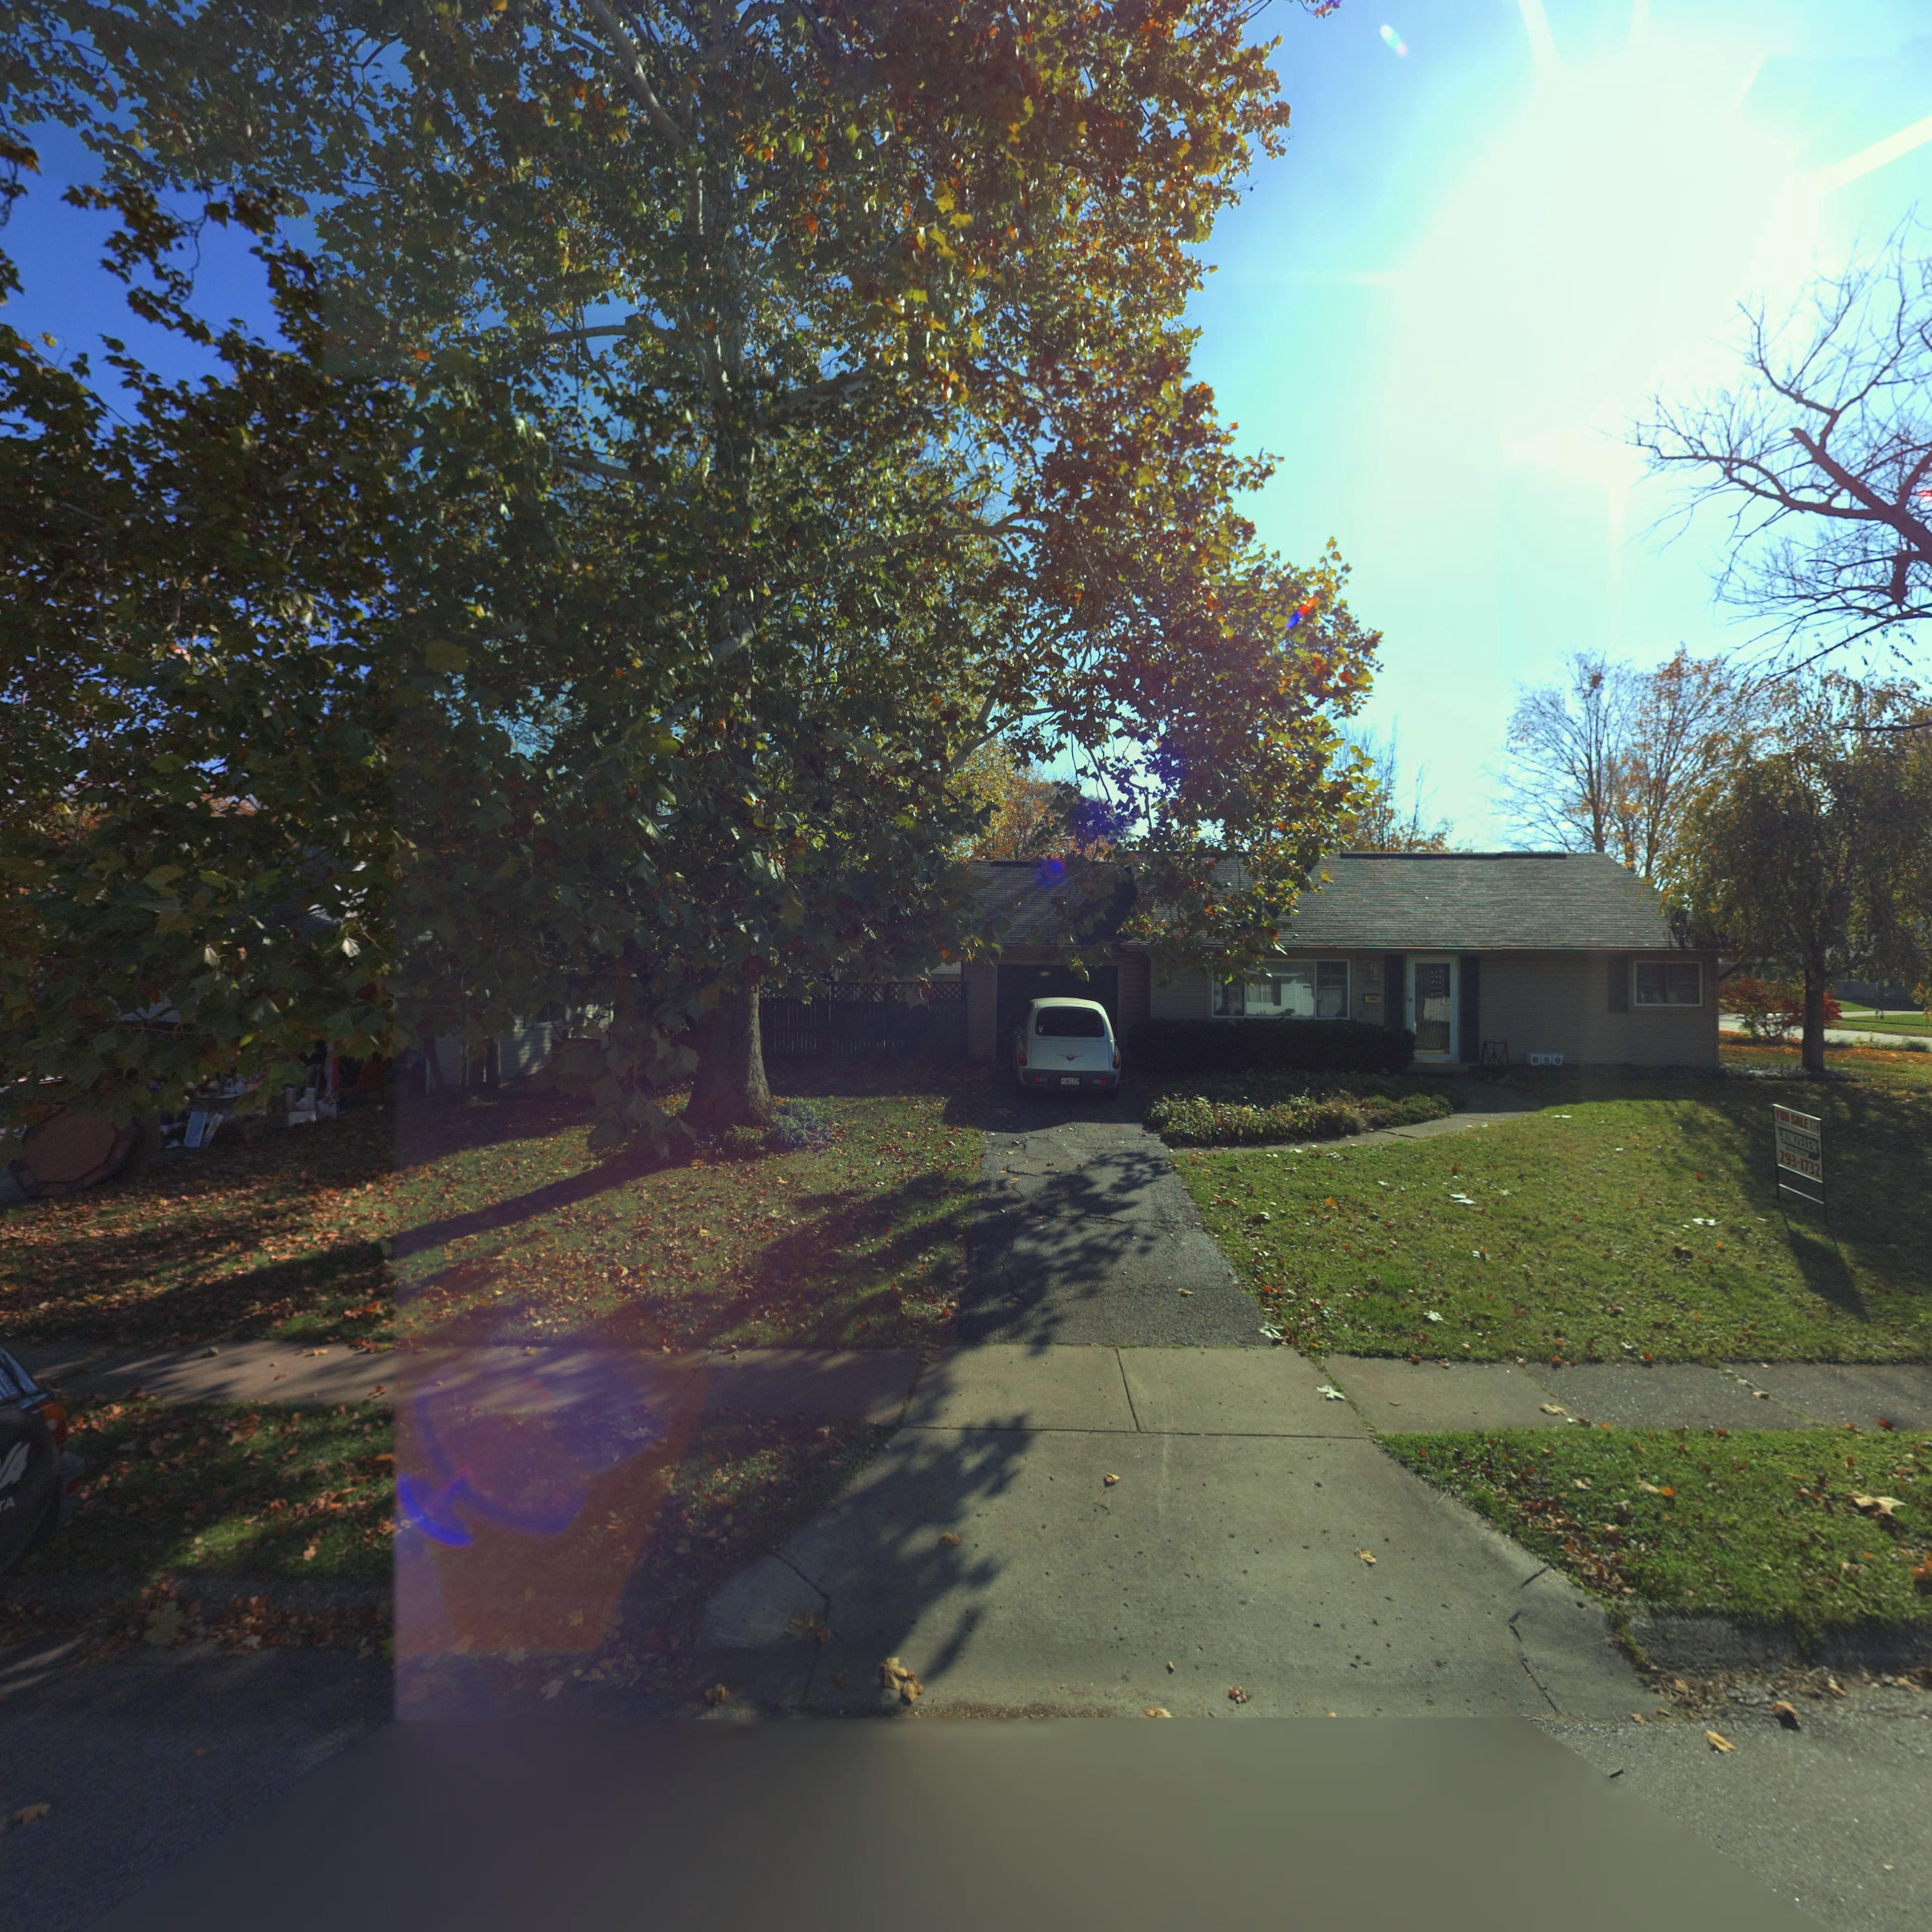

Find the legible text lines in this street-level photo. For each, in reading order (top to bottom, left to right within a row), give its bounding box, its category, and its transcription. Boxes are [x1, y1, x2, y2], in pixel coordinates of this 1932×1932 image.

[1362, 978, 1381, 987] StreetNumber: *50
[1532, 1056, 1561, 1064] StreetNumber: 850
[1065, 1078, 1068, 1084] None: D
[1070, 1079, 1079, 1084] None: 1372
[1776, 1108, 1809, 1130] None: FOR SALE
[1781, 1129, 1818, 1155] None: KINZELER
[1779, 1149, 1820, 1179] None: 293-1732
[0, 1441, 30, 1491] None: 4
[2, 1495, 17, 1511] None: A